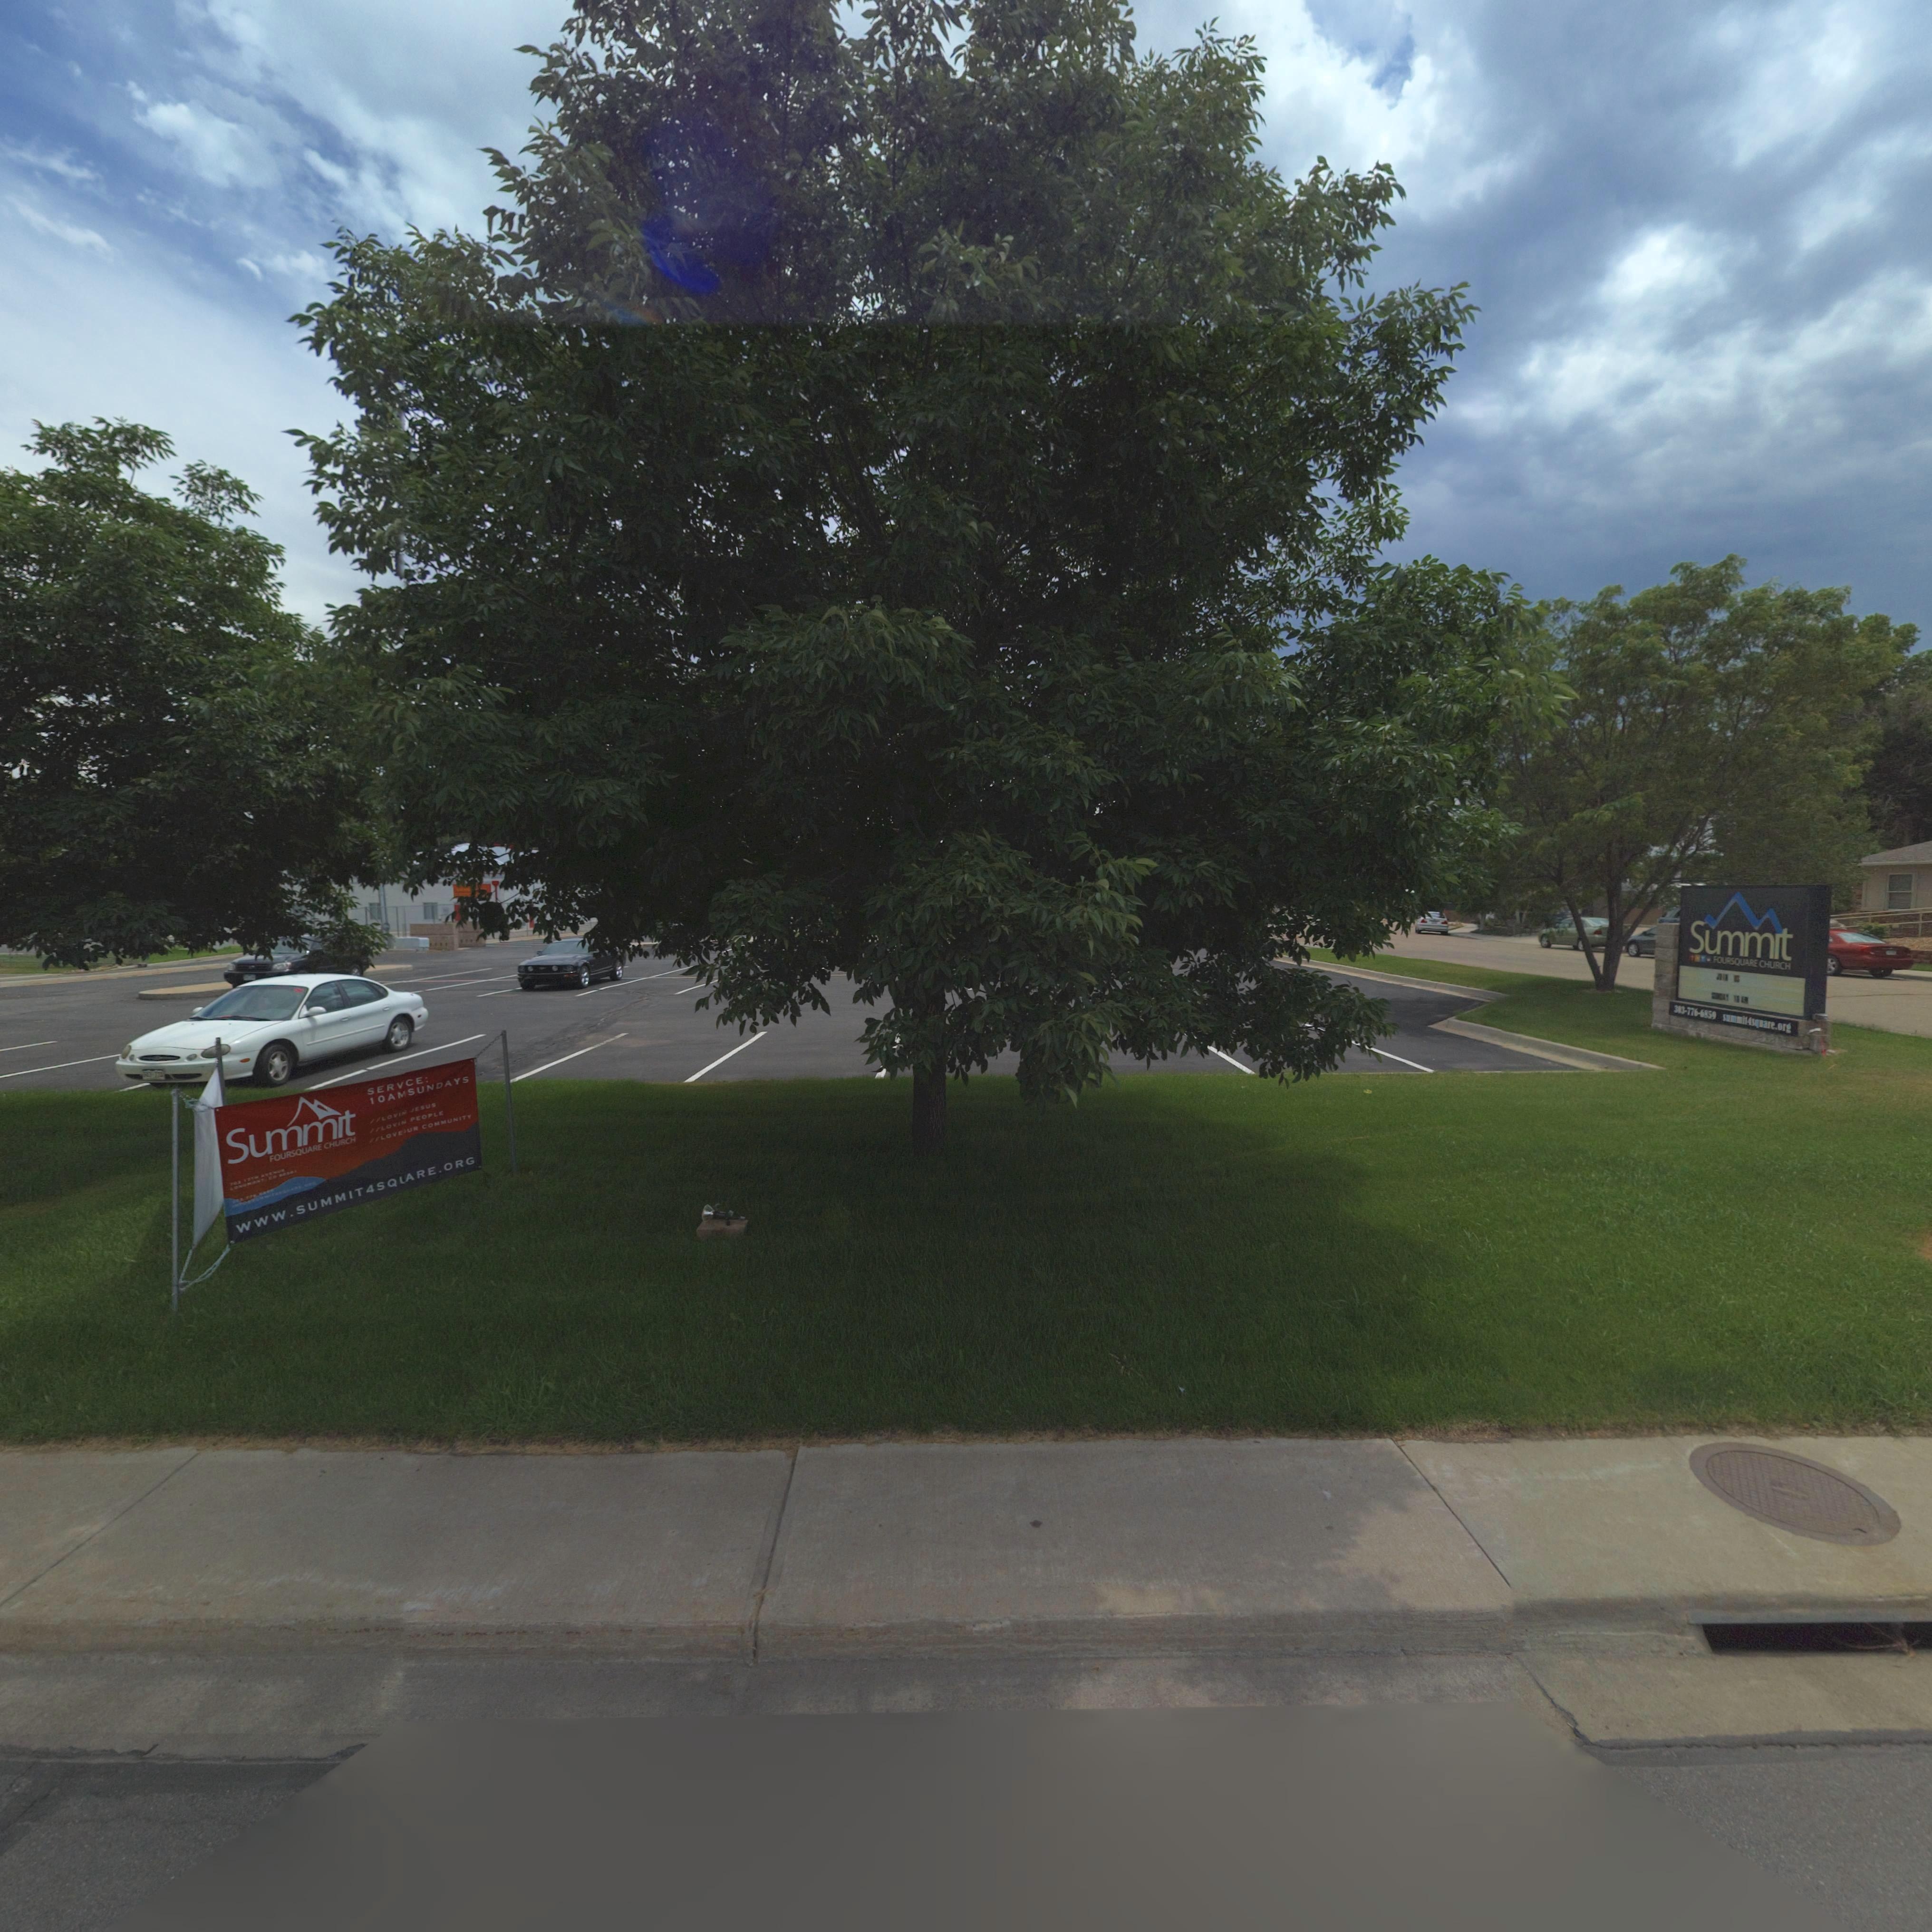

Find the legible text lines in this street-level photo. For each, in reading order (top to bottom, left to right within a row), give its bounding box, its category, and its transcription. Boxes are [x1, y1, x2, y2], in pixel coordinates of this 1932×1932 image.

[1688, 918, 1794, 962] BusinessName: Su*mit
[1712, 955, 1792, 970] BusinessName: FOURSQUARE CHURCH
[224, 1109, 357, 1166] BusinessName: Su*mit
[269, 1135, 357, 1163] BusinessName: FOURSQUARE CHURCH